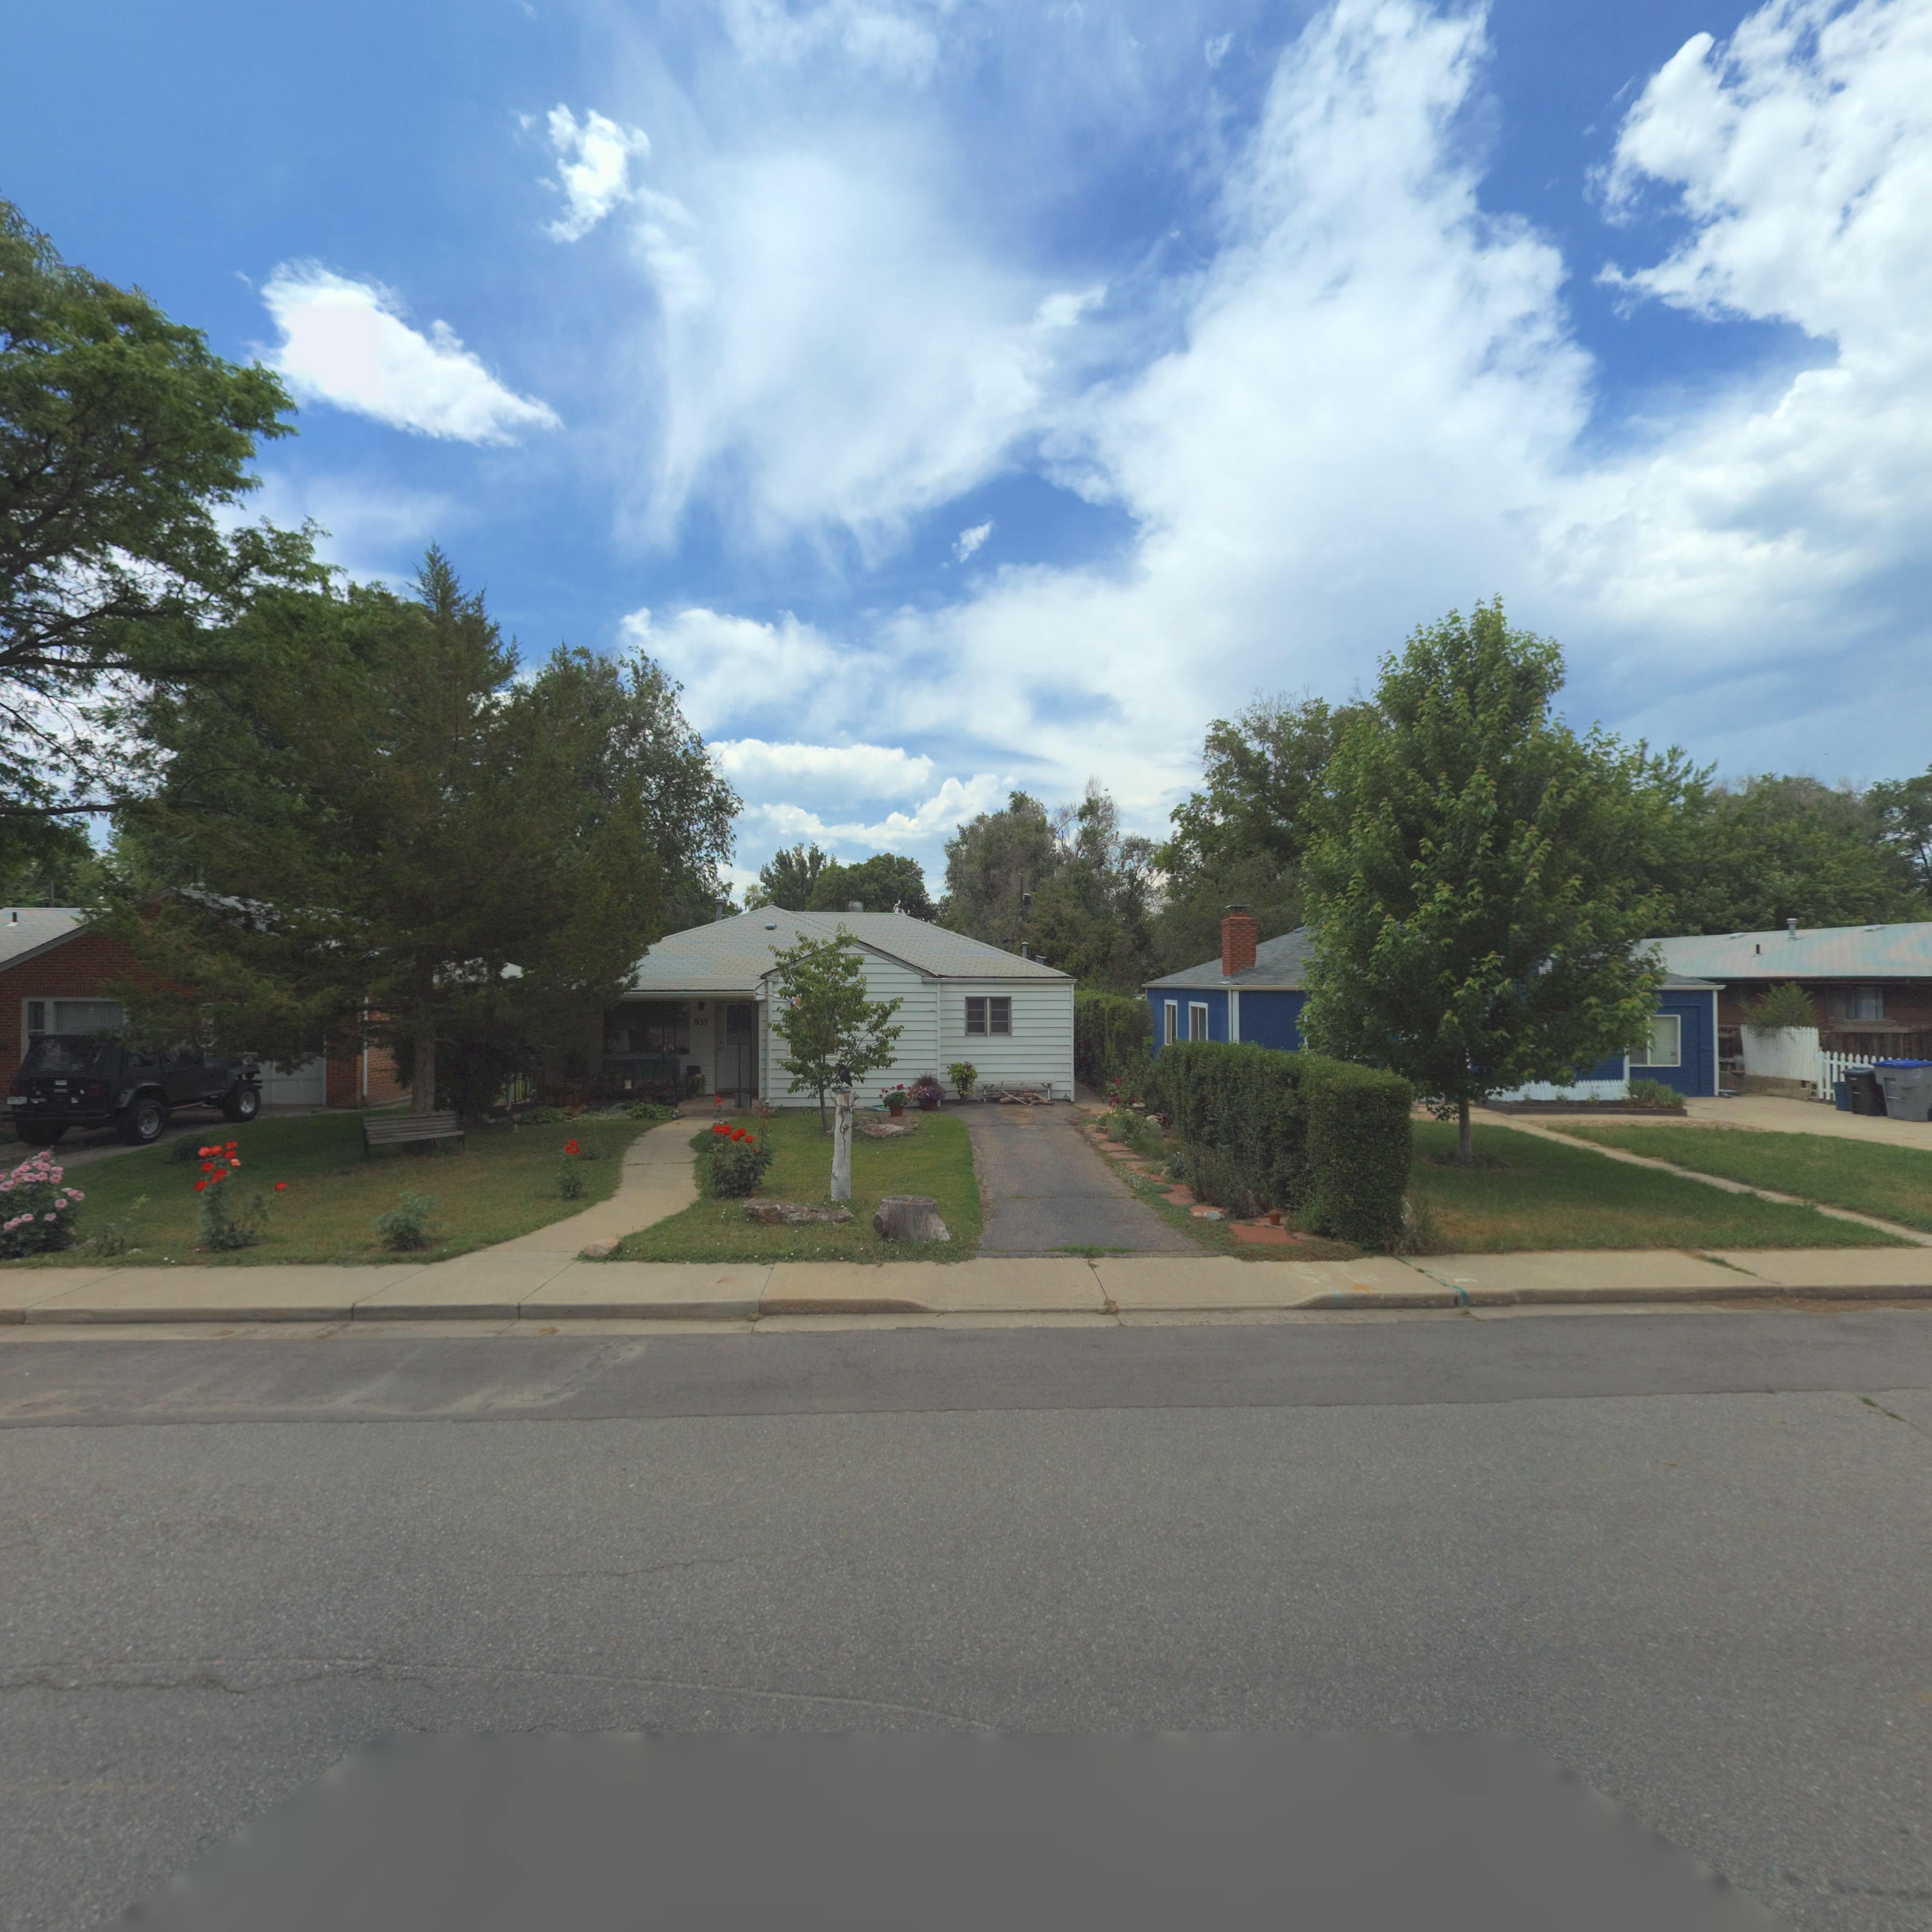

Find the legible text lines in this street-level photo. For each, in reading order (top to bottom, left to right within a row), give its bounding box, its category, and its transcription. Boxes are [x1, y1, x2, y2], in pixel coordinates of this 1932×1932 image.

[693, 1018, 709, 1026] StreetNumber: 937